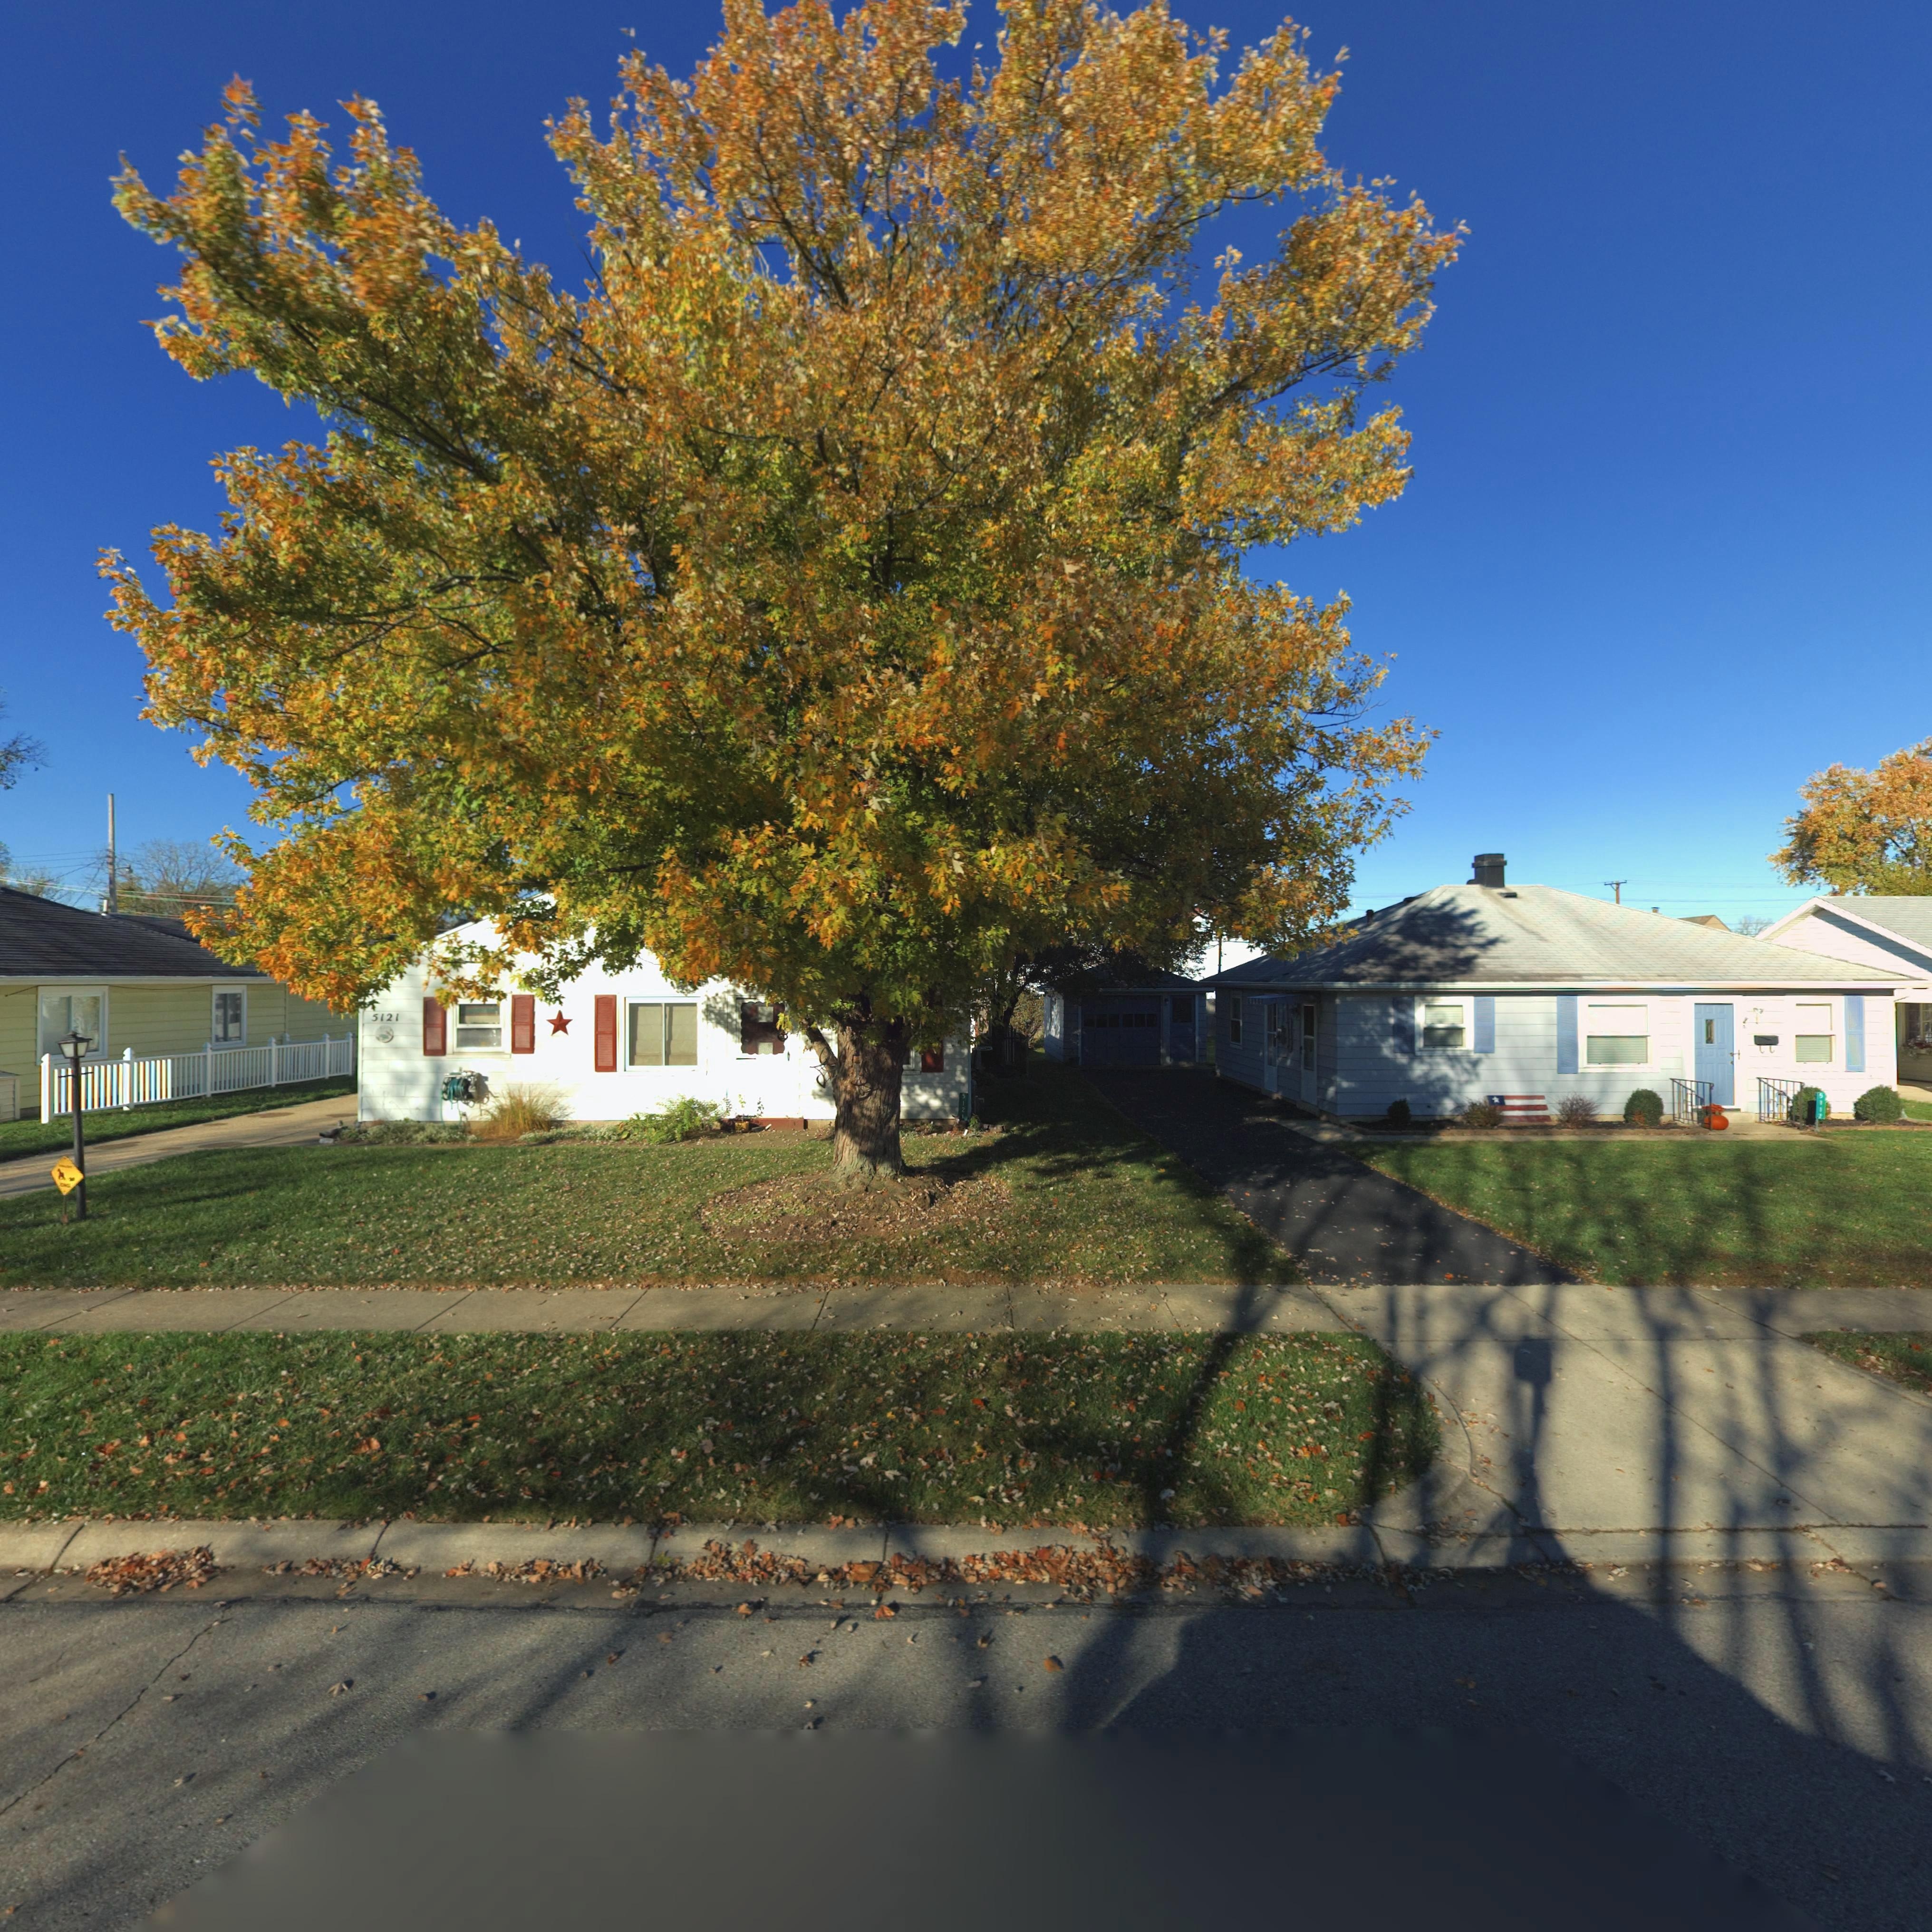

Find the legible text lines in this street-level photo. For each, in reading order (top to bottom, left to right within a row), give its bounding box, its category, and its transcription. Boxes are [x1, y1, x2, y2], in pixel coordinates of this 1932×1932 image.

[370, 1013, 399, 1022] StreetNumber: 5121
[960, 1093, 966, 1120] StreetNumber: 5121
[1817, 1092, 1825, 1119] StreetNumber: 511*